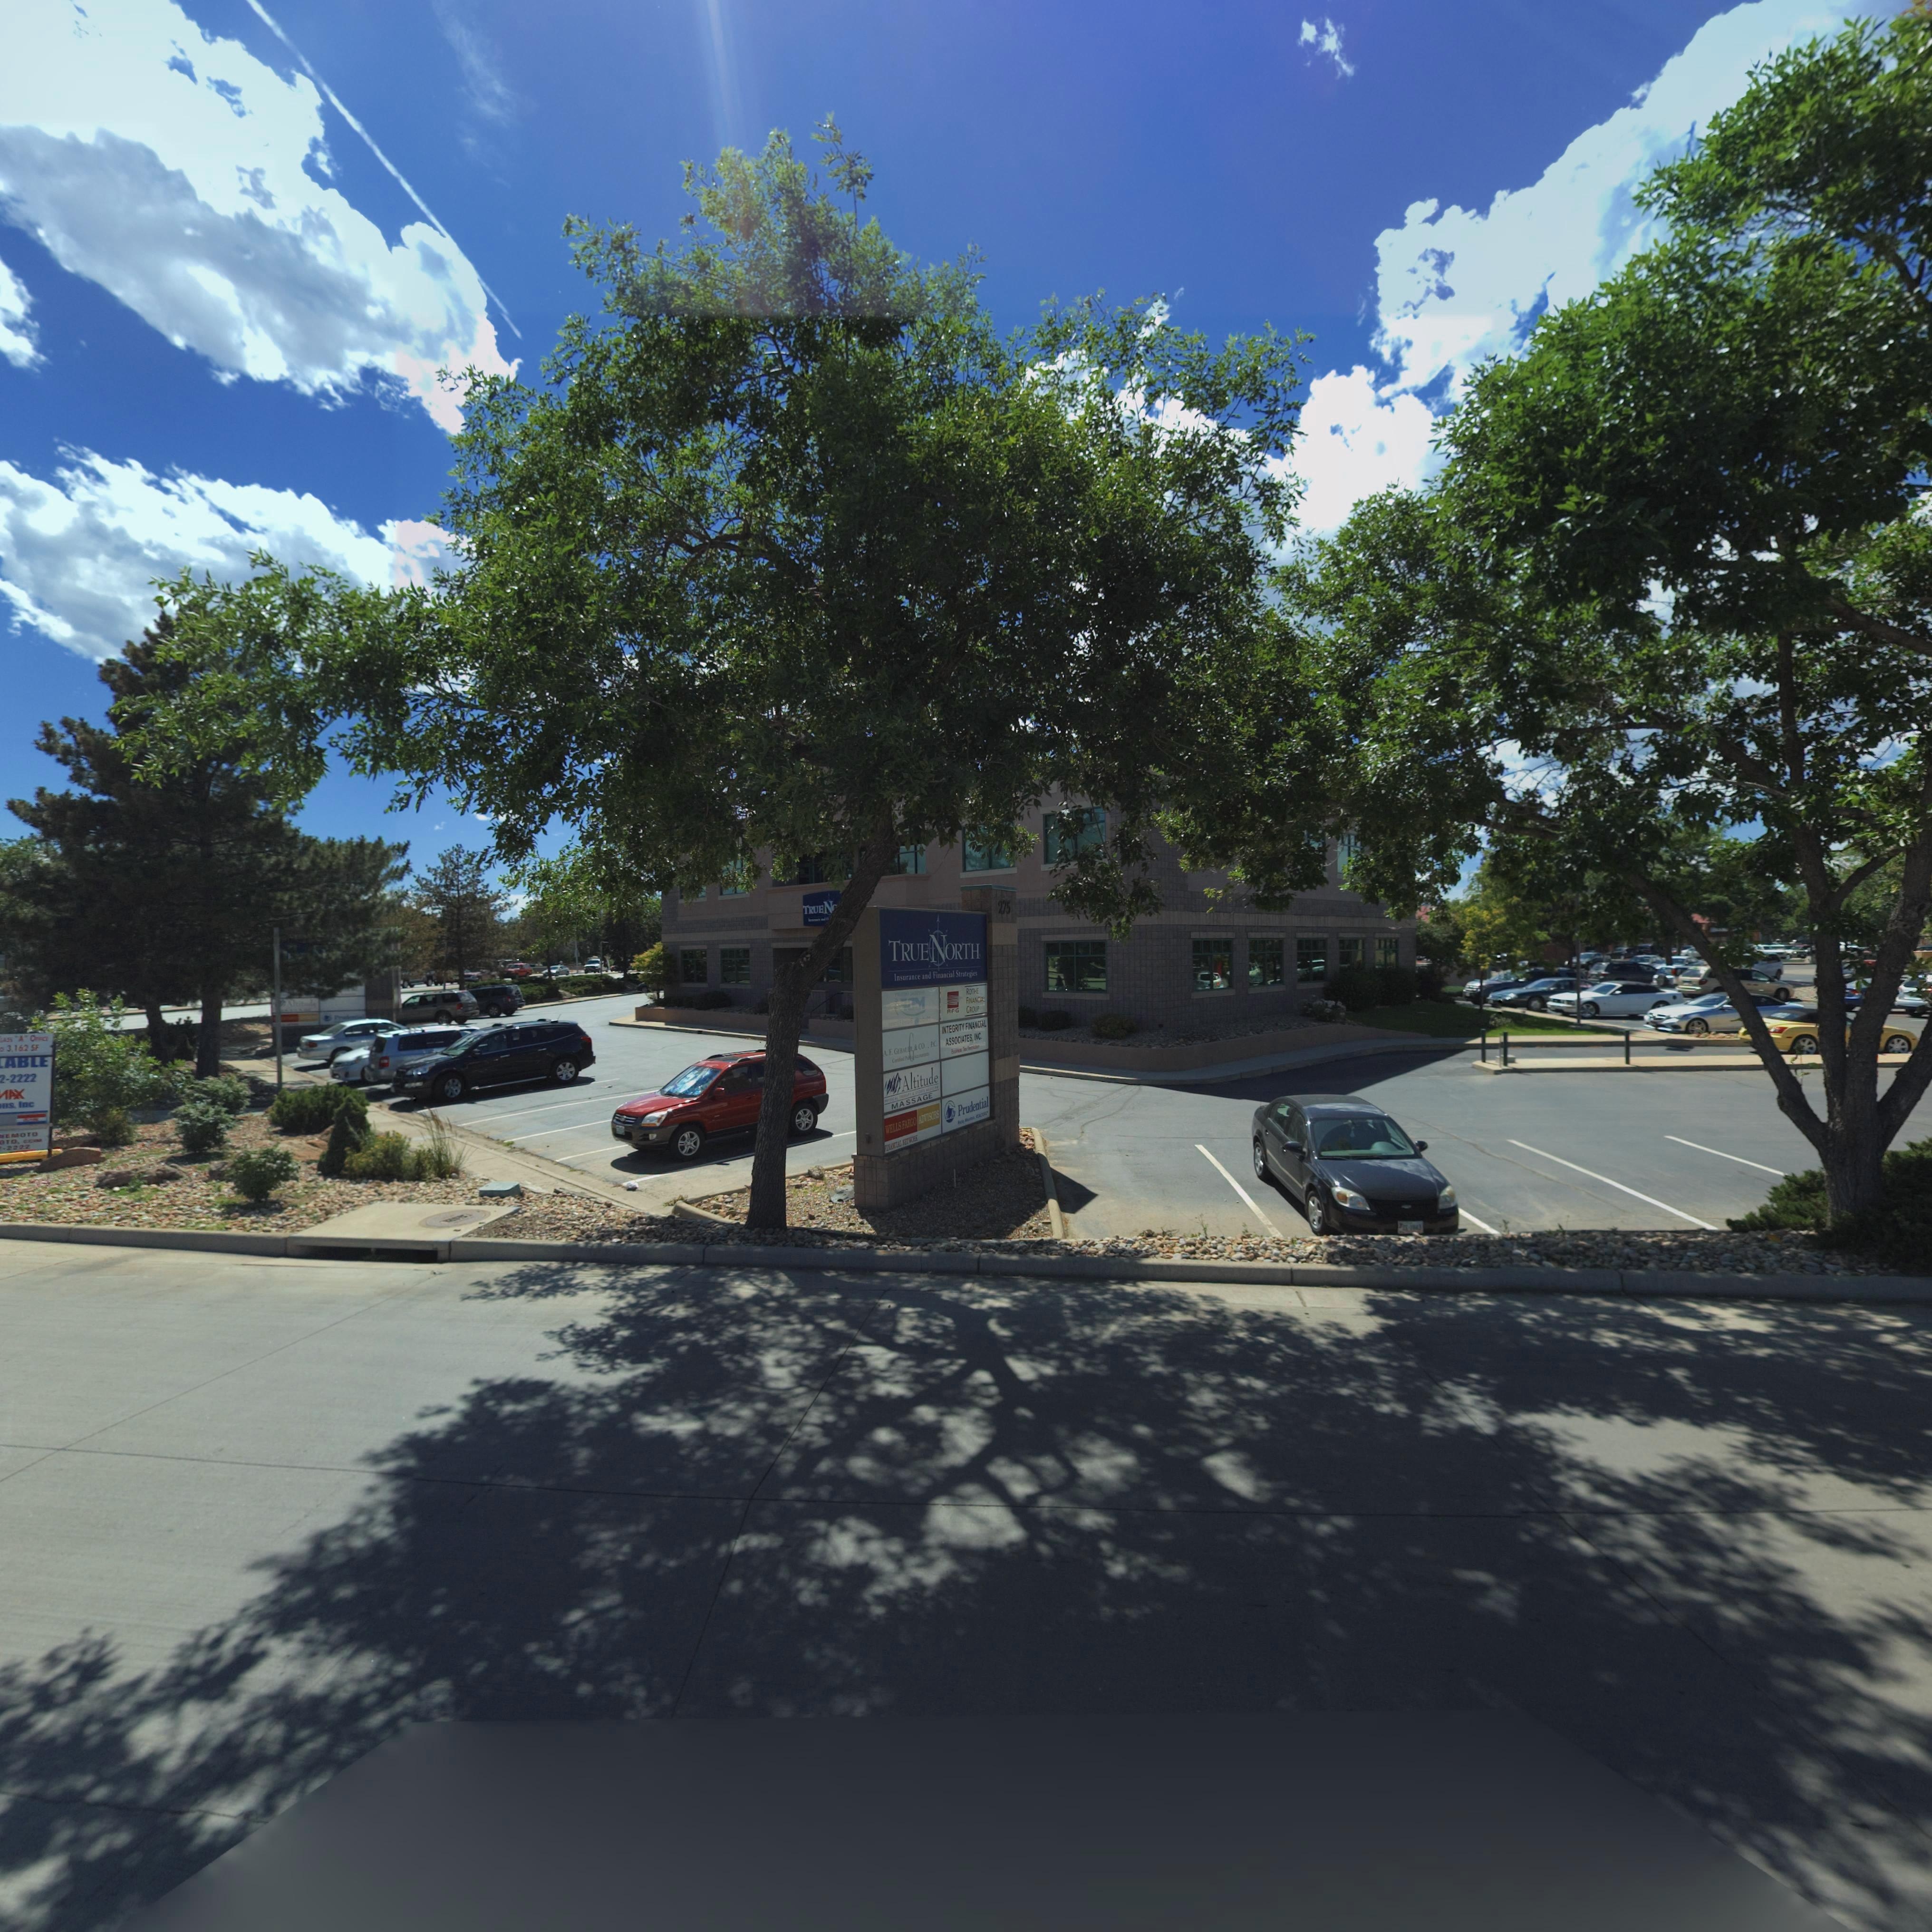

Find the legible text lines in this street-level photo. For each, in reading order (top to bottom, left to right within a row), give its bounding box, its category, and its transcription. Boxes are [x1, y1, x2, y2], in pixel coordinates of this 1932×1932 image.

[801, 900, 833, 915] BusinessName: TRUEN
[885, 932, 982, 966] BusinessName: TRUENORTH
[891, 968, 980, 984] BusinessName: Insurance and Financial Strategies
[965, 987, 980, 995] BusinessName: ROTHE
[946, 1007, 959, 1014] BusinessName: RFG
[940, 1018, 988, 1035] BusinessName: INTEGRITY FINANCIAL
[944, 1031, 982, 1047] BusinessName: ASSOCIATES, INC
[881, 1037, 939, 1058] BusinessName: A.F. GEBAUR & CO.. PC
[900, 1065, 938, 1092] BusinessName: Altitude
[957, 1095, 989, 1117] BusinessName: Prudential
[884, 1109, 940, 1135] BusinessName: WELLSFARGOADVISORS